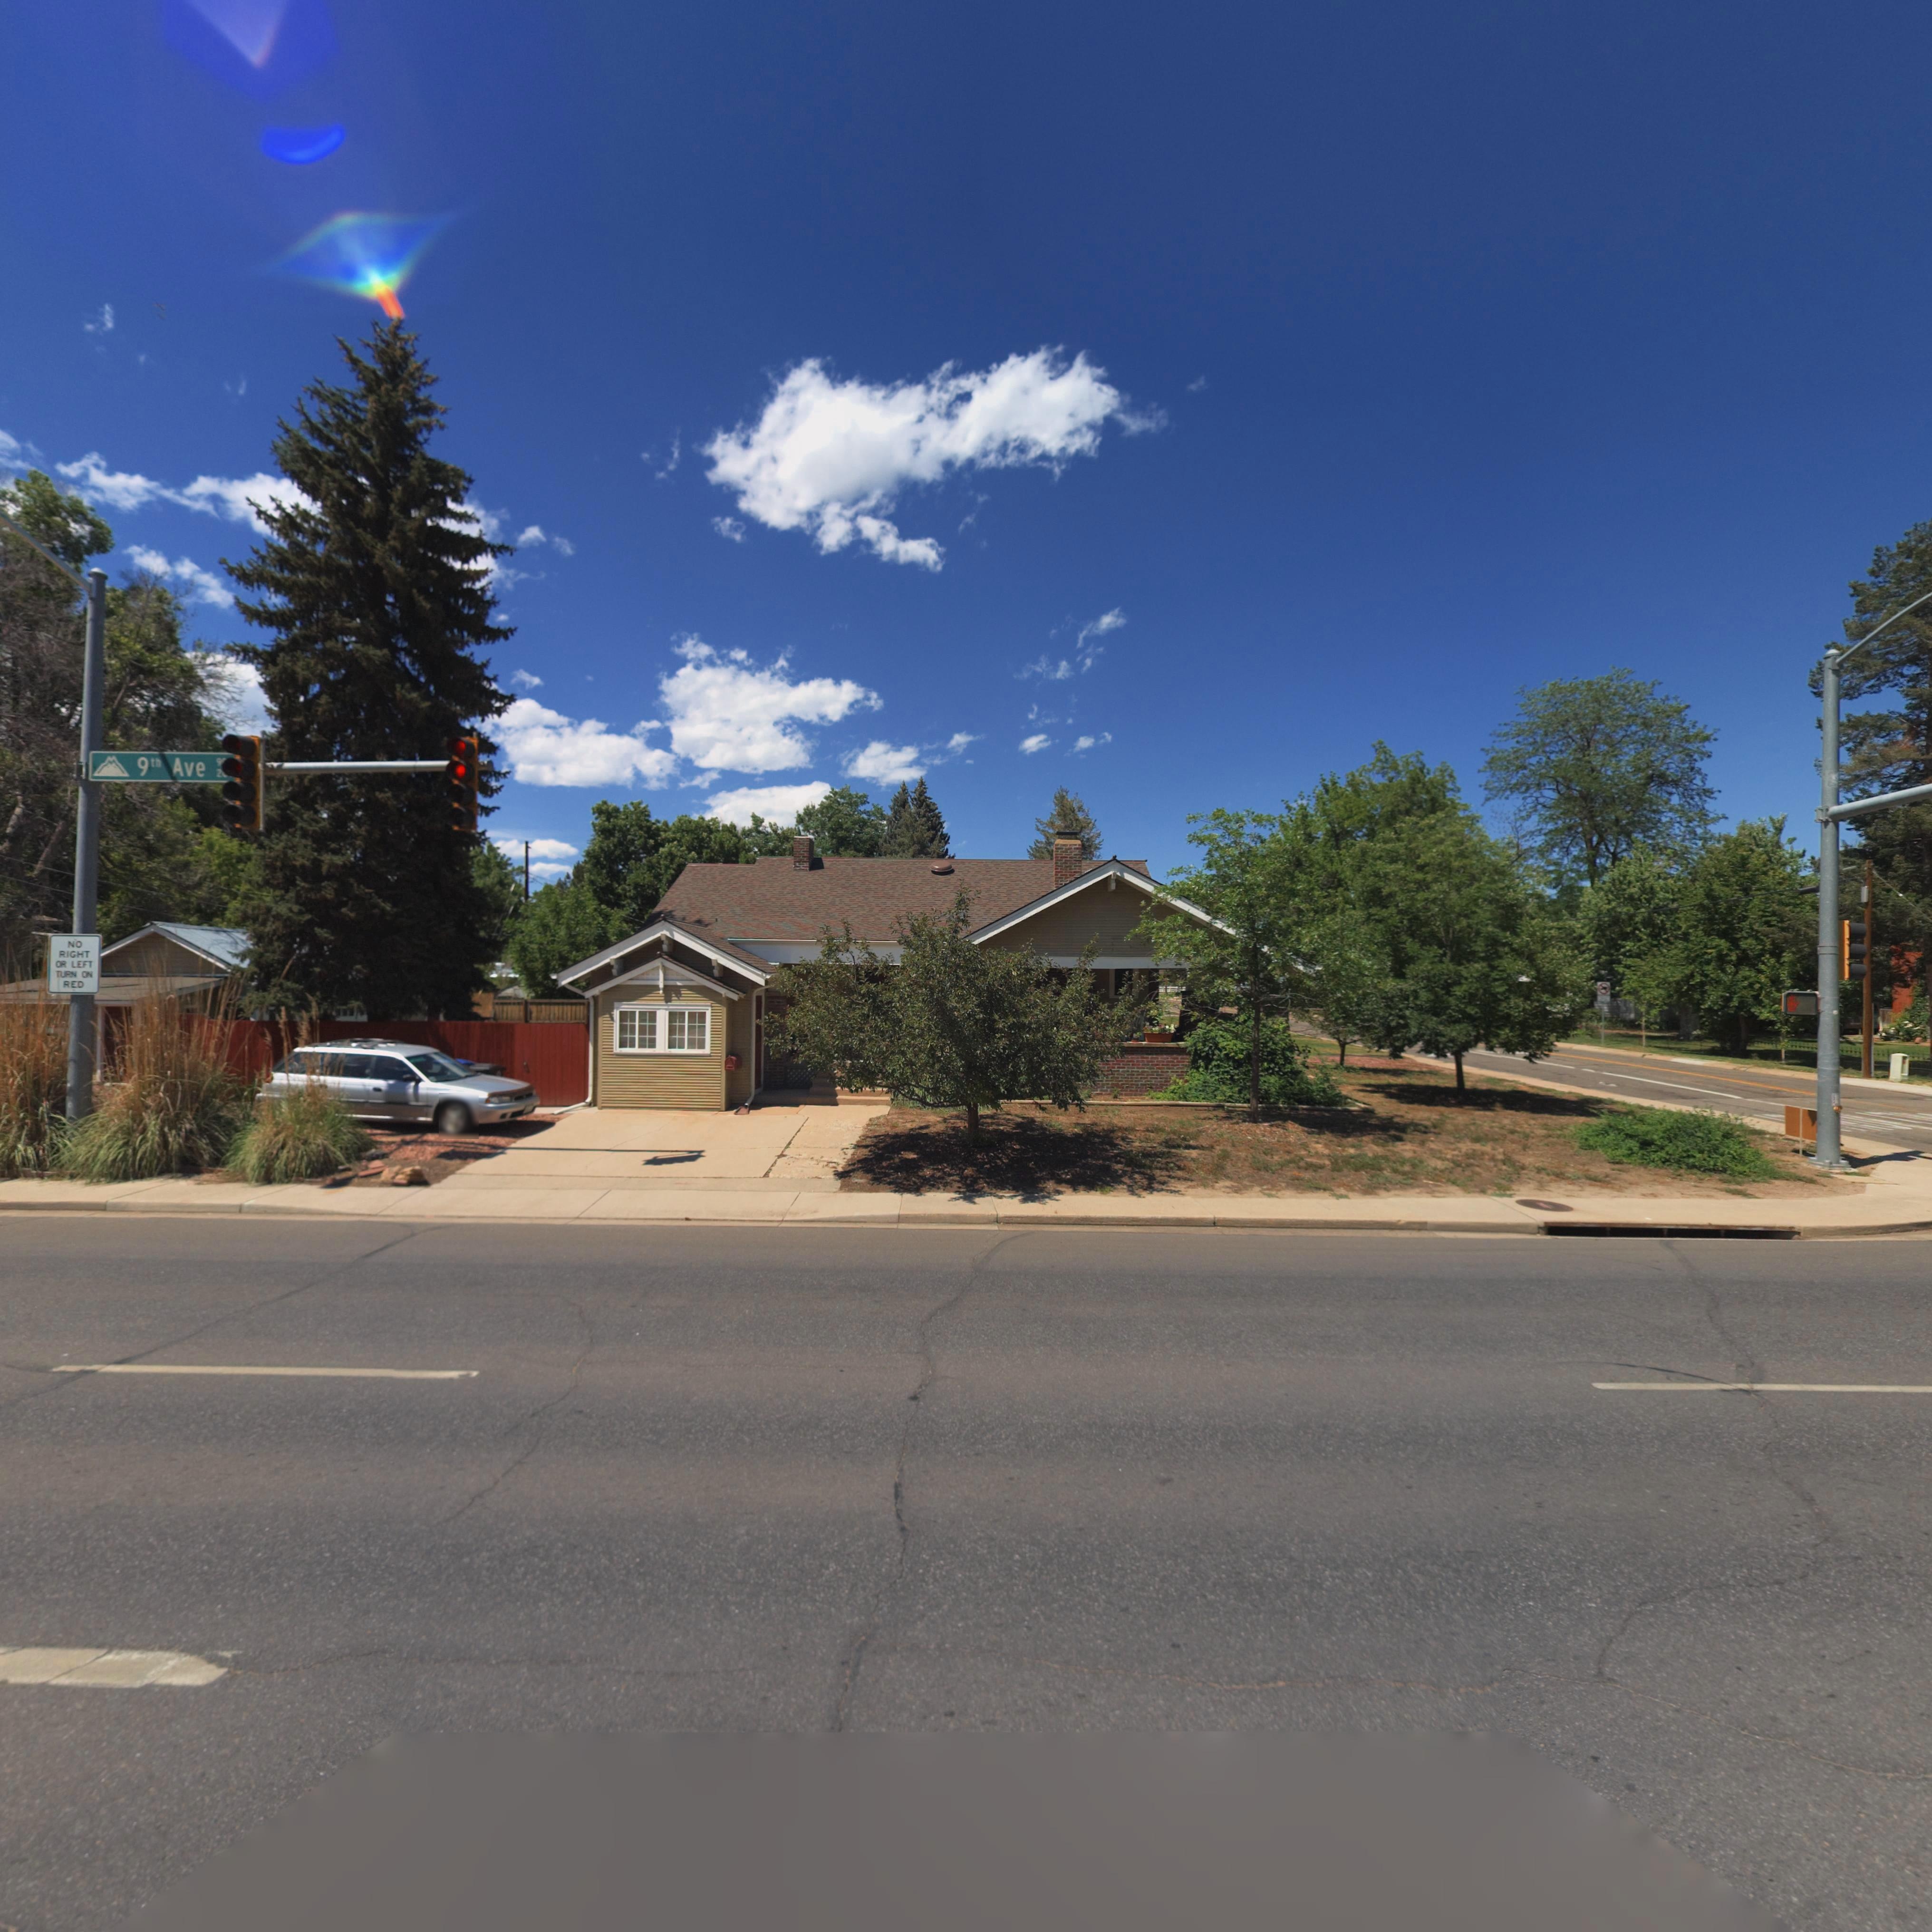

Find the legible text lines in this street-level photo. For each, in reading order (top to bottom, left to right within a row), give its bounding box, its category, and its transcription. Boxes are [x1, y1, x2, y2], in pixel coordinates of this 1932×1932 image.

[216, 757, 228, 766] StreetNumberRange: 9*
[136, 756, 205, 777] StreetName: 9th Ave
[216, 768, 229, 777] StreetNumberRange: 2*